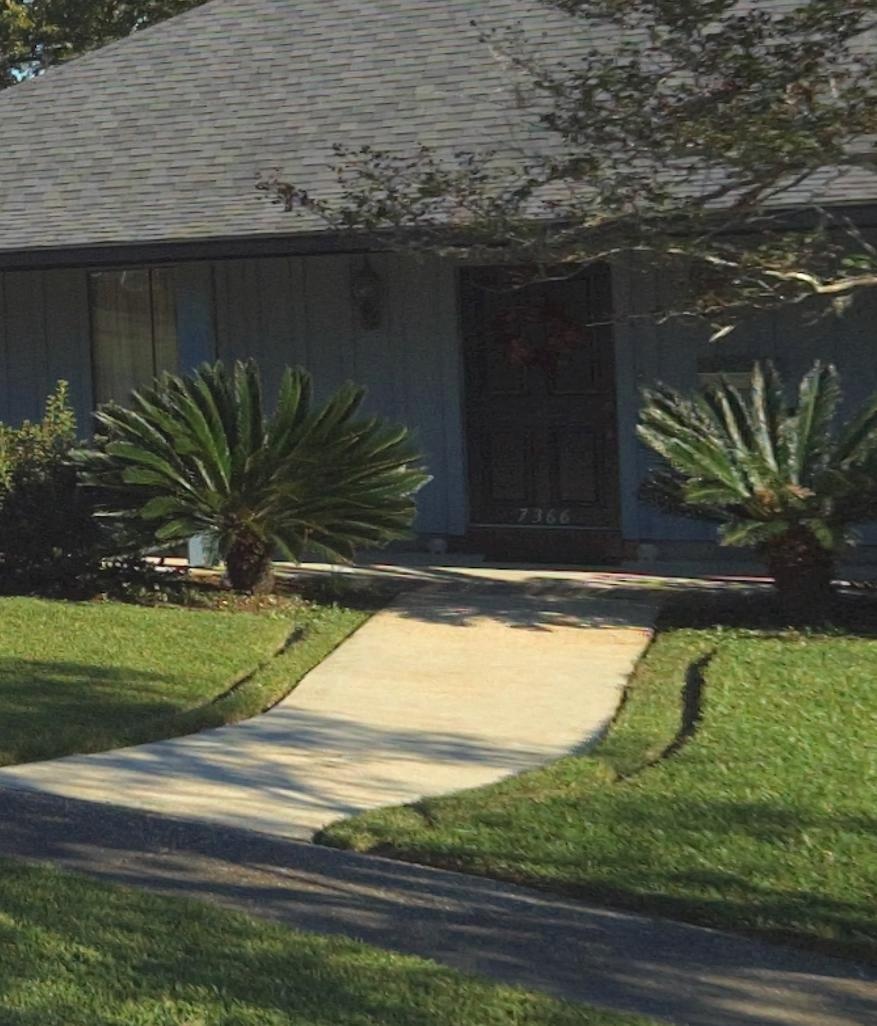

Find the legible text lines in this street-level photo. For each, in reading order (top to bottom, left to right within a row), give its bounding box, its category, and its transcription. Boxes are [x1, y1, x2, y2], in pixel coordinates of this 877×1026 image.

[515, 506, 572, 525] StreetNumber: 7366